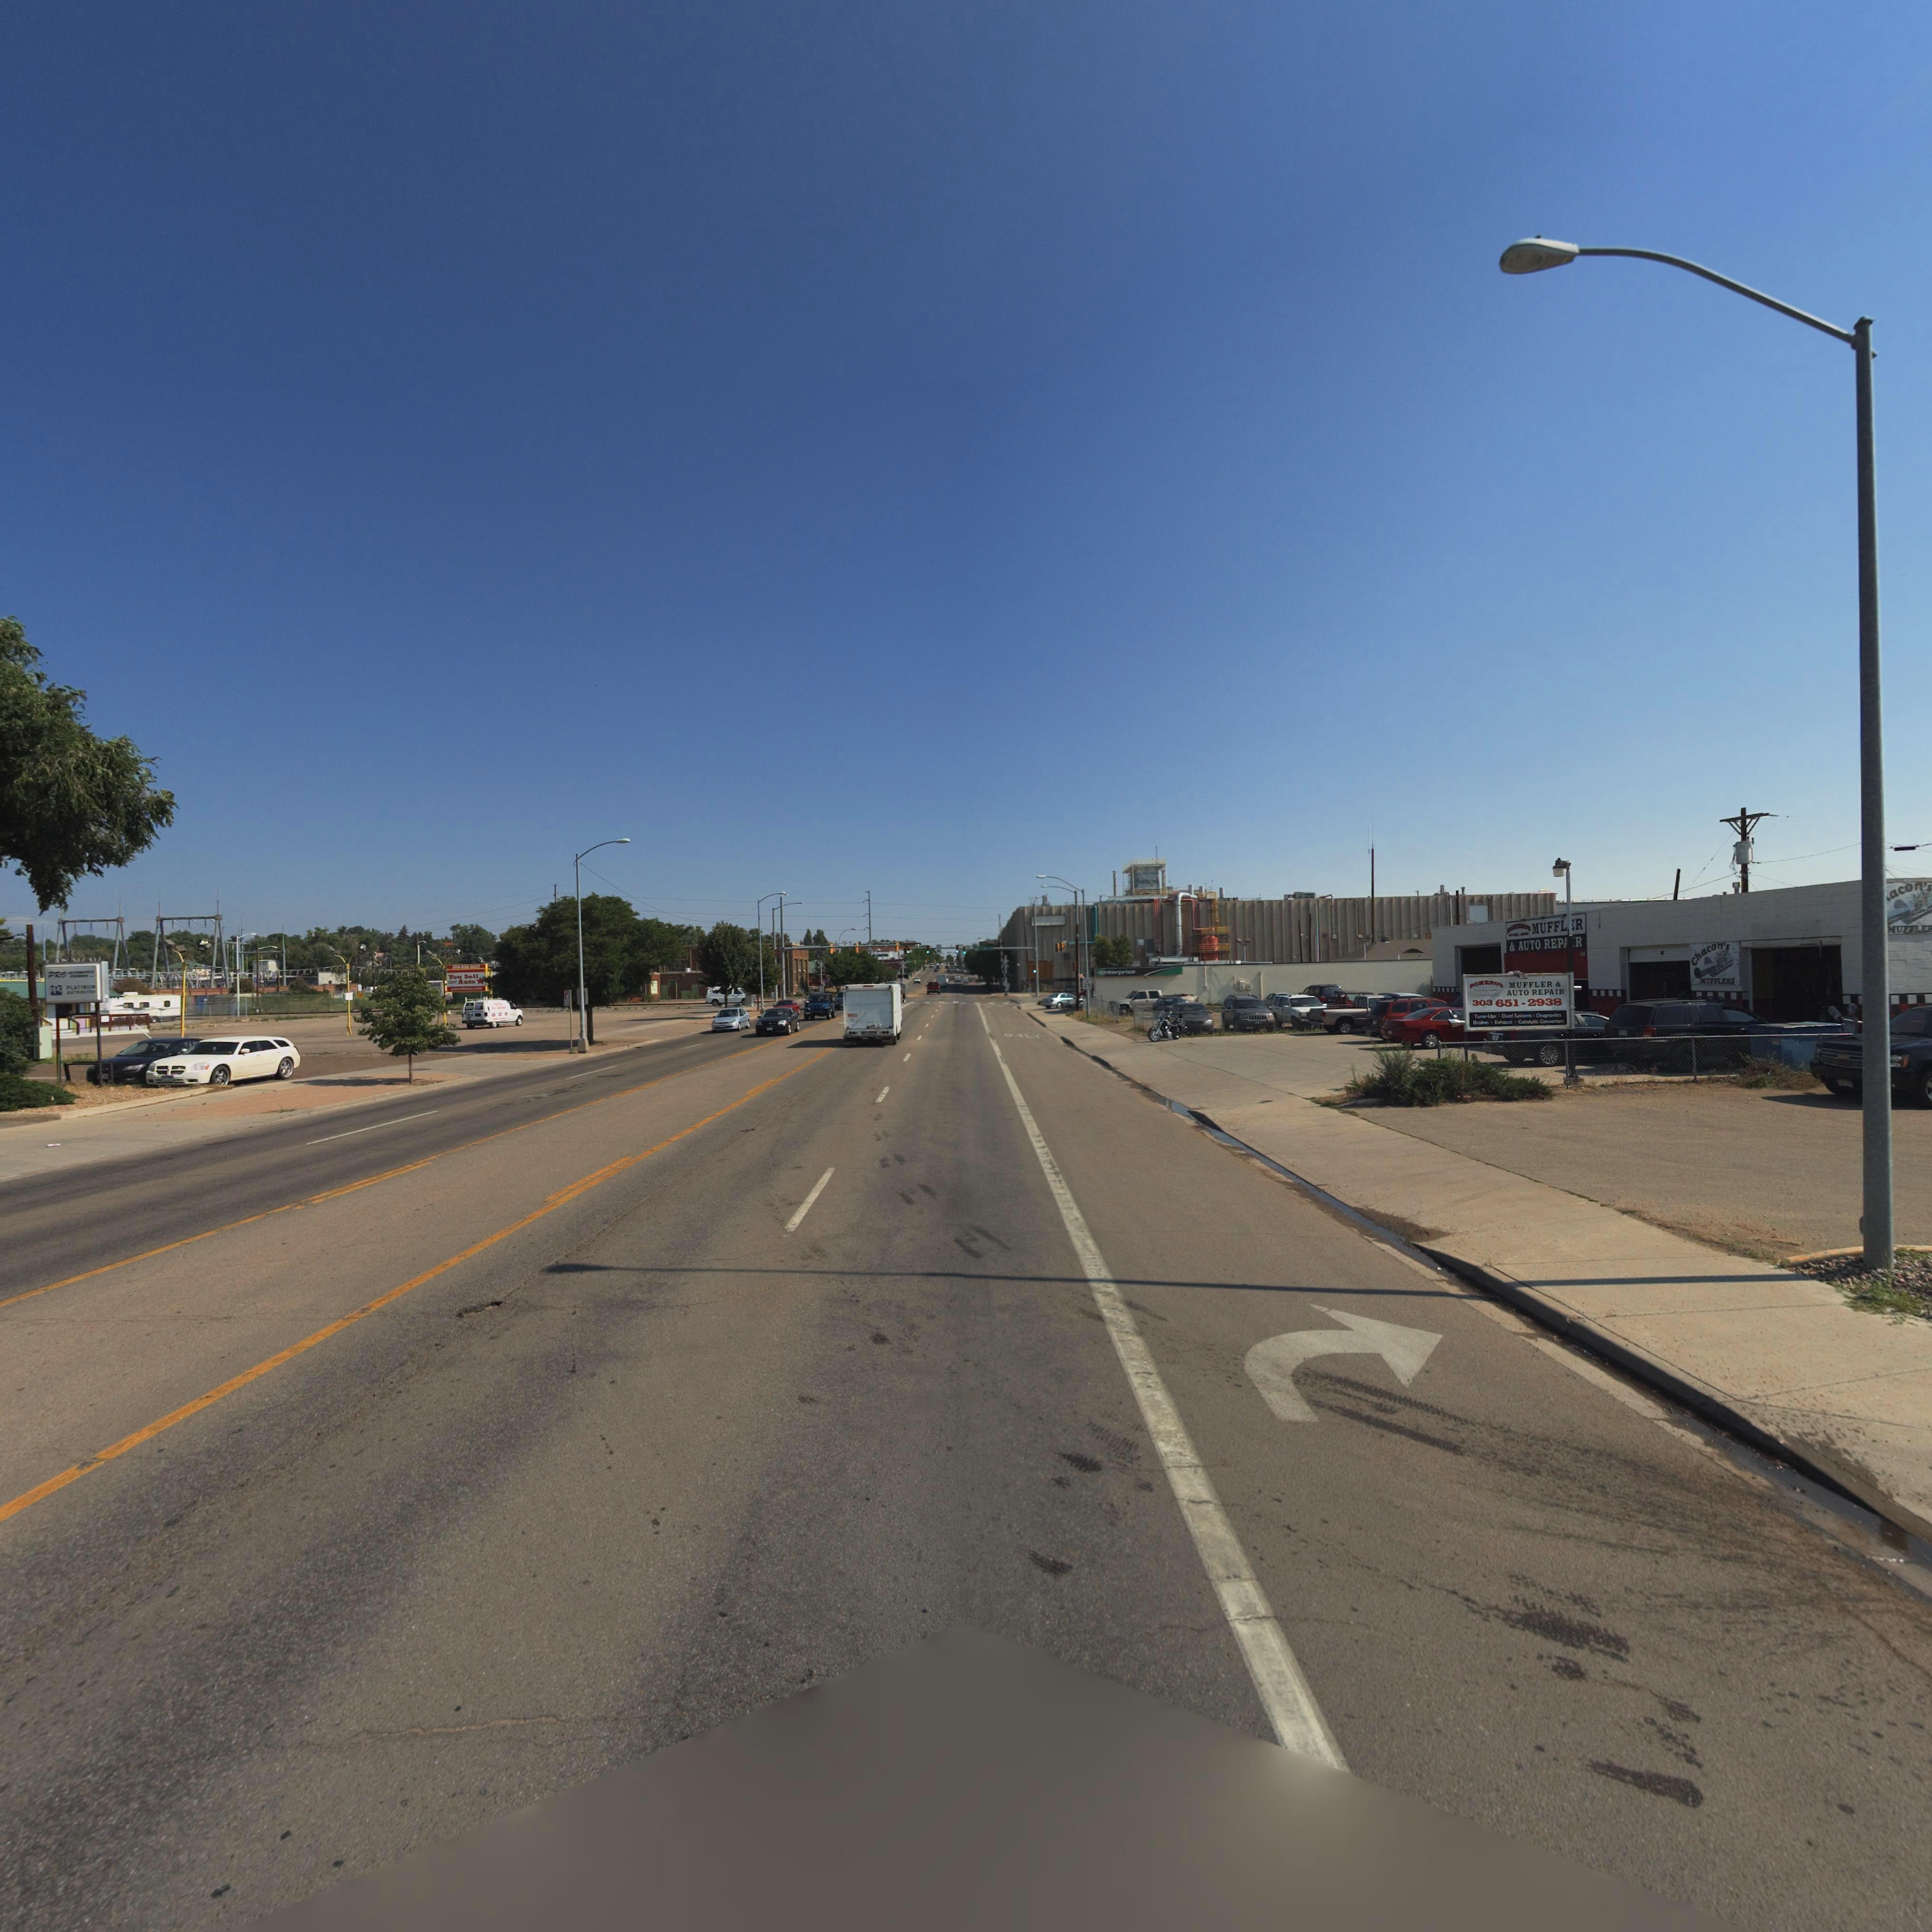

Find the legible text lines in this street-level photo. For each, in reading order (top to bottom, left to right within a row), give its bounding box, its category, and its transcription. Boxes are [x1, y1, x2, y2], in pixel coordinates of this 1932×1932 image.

[1506, 923, 1531, 934] BusinessName: ROMERO'S
[1531, 918, 1583, 934] BusinessName: MUFFLER
[1508, 936, 1583, 952] BusinessName: & AUTO REPAIR
[47, 971, 67, 979] BusinessName: PRO
[447, 974, 478, 979] BusinessName: You Sell
[1096, 969, 1136, 976] BusinessName: enterprise
[458, 979, 475, 984] BusinessName: Auto
[1469, 980, 1503, 989] BusinessName: ROMERO'S
[1509, 980, 1561, 988] BusinessName: MUFFLER &
[1506, 988, 1564, 996] BusinessName: AUTO REPAIR